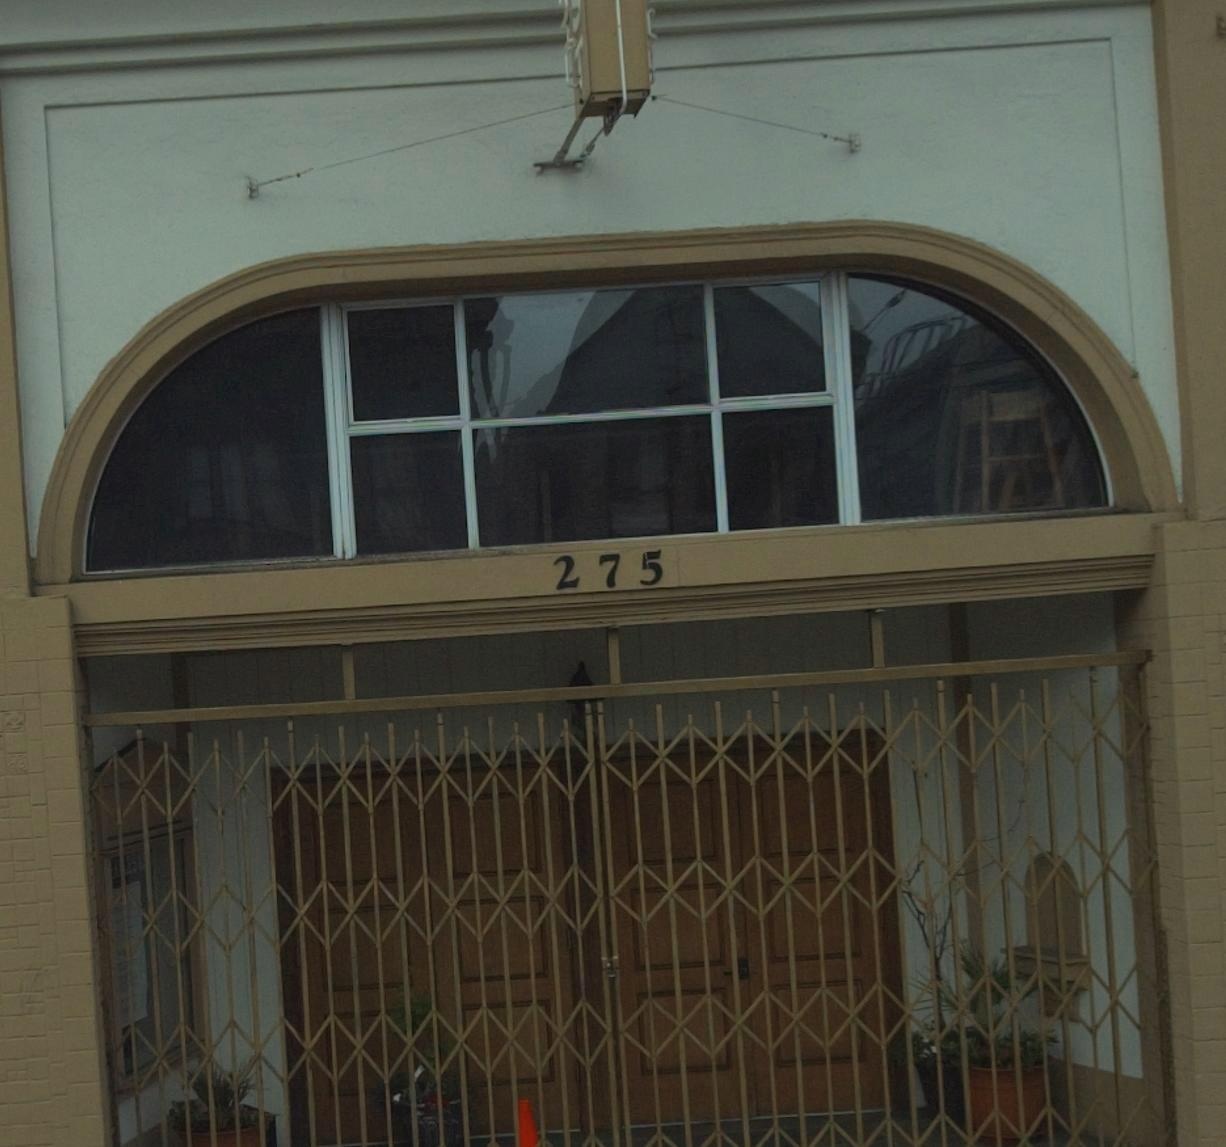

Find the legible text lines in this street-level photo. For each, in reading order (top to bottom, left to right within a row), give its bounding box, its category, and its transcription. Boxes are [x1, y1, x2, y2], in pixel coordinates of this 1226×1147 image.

[551, 546, 667, 594] StreetNumber: 275